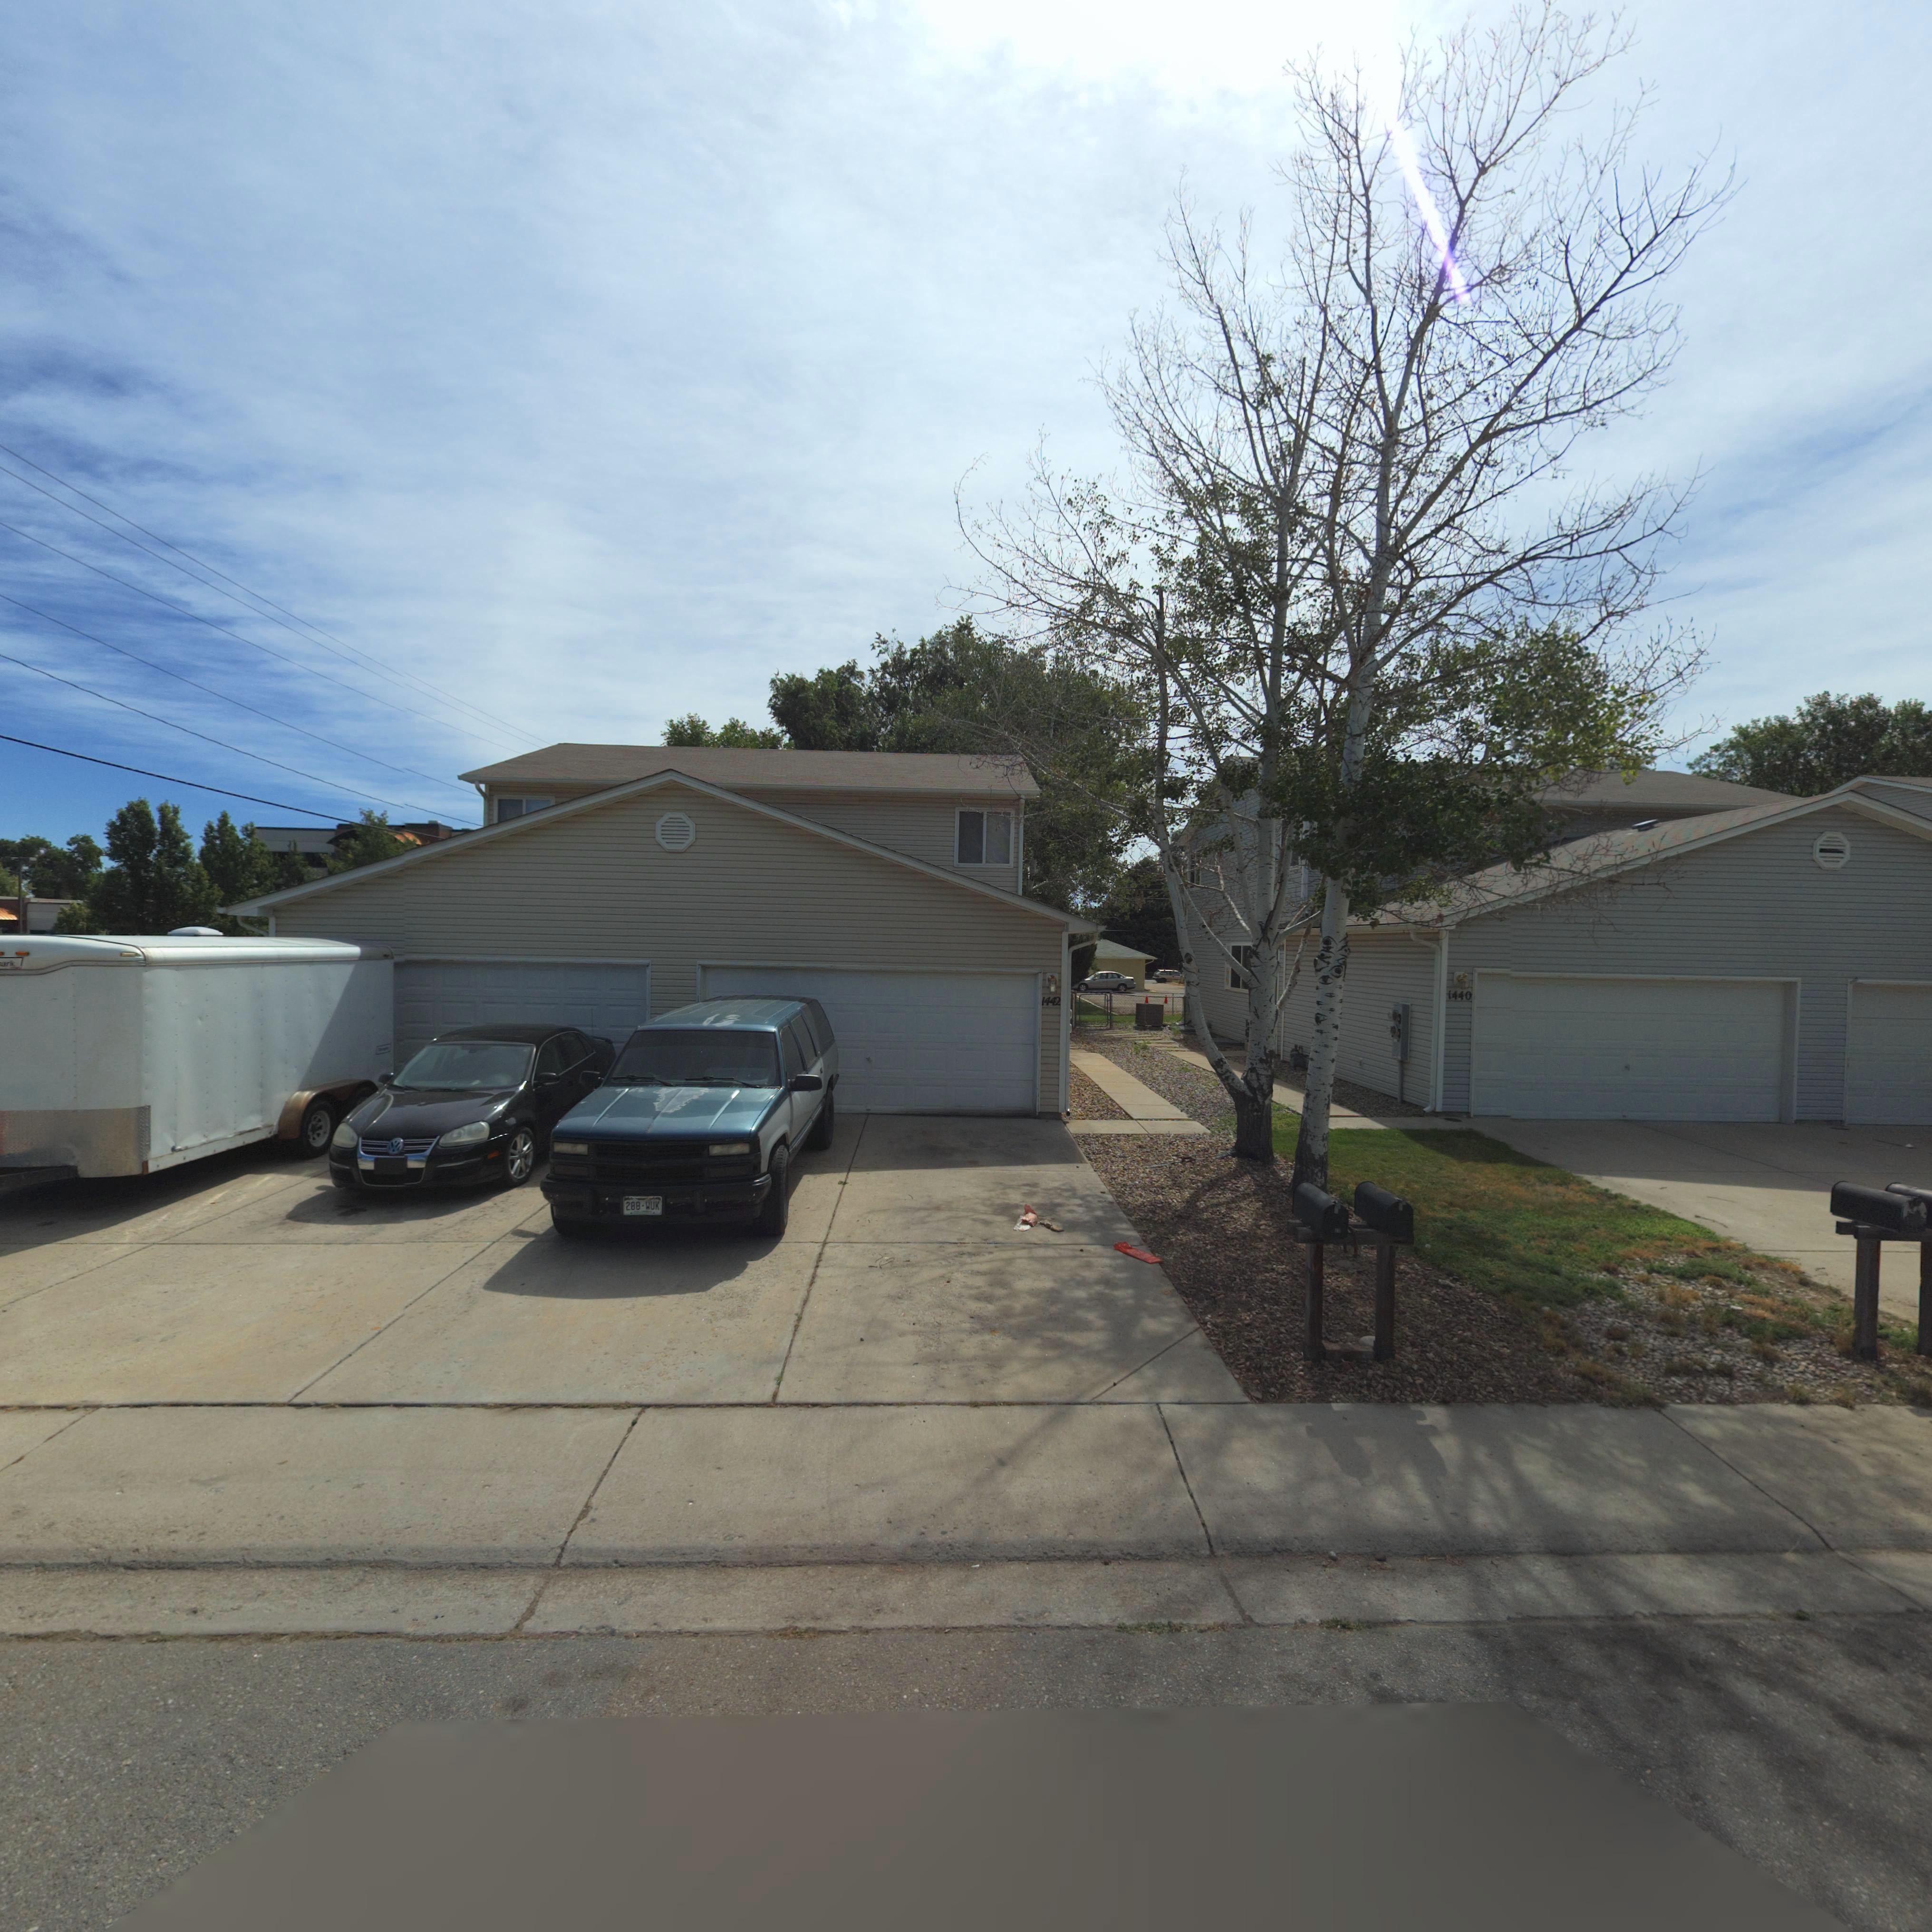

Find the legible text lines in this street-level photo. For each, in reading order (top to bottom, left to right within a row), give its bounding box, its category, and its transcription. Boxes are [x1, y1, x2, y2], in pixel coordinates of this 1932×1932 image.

[1041, 996, 1061, 1005] StreetNumber: 1442
[1448, 989, 1472, 1001] StreetNumber: 1440